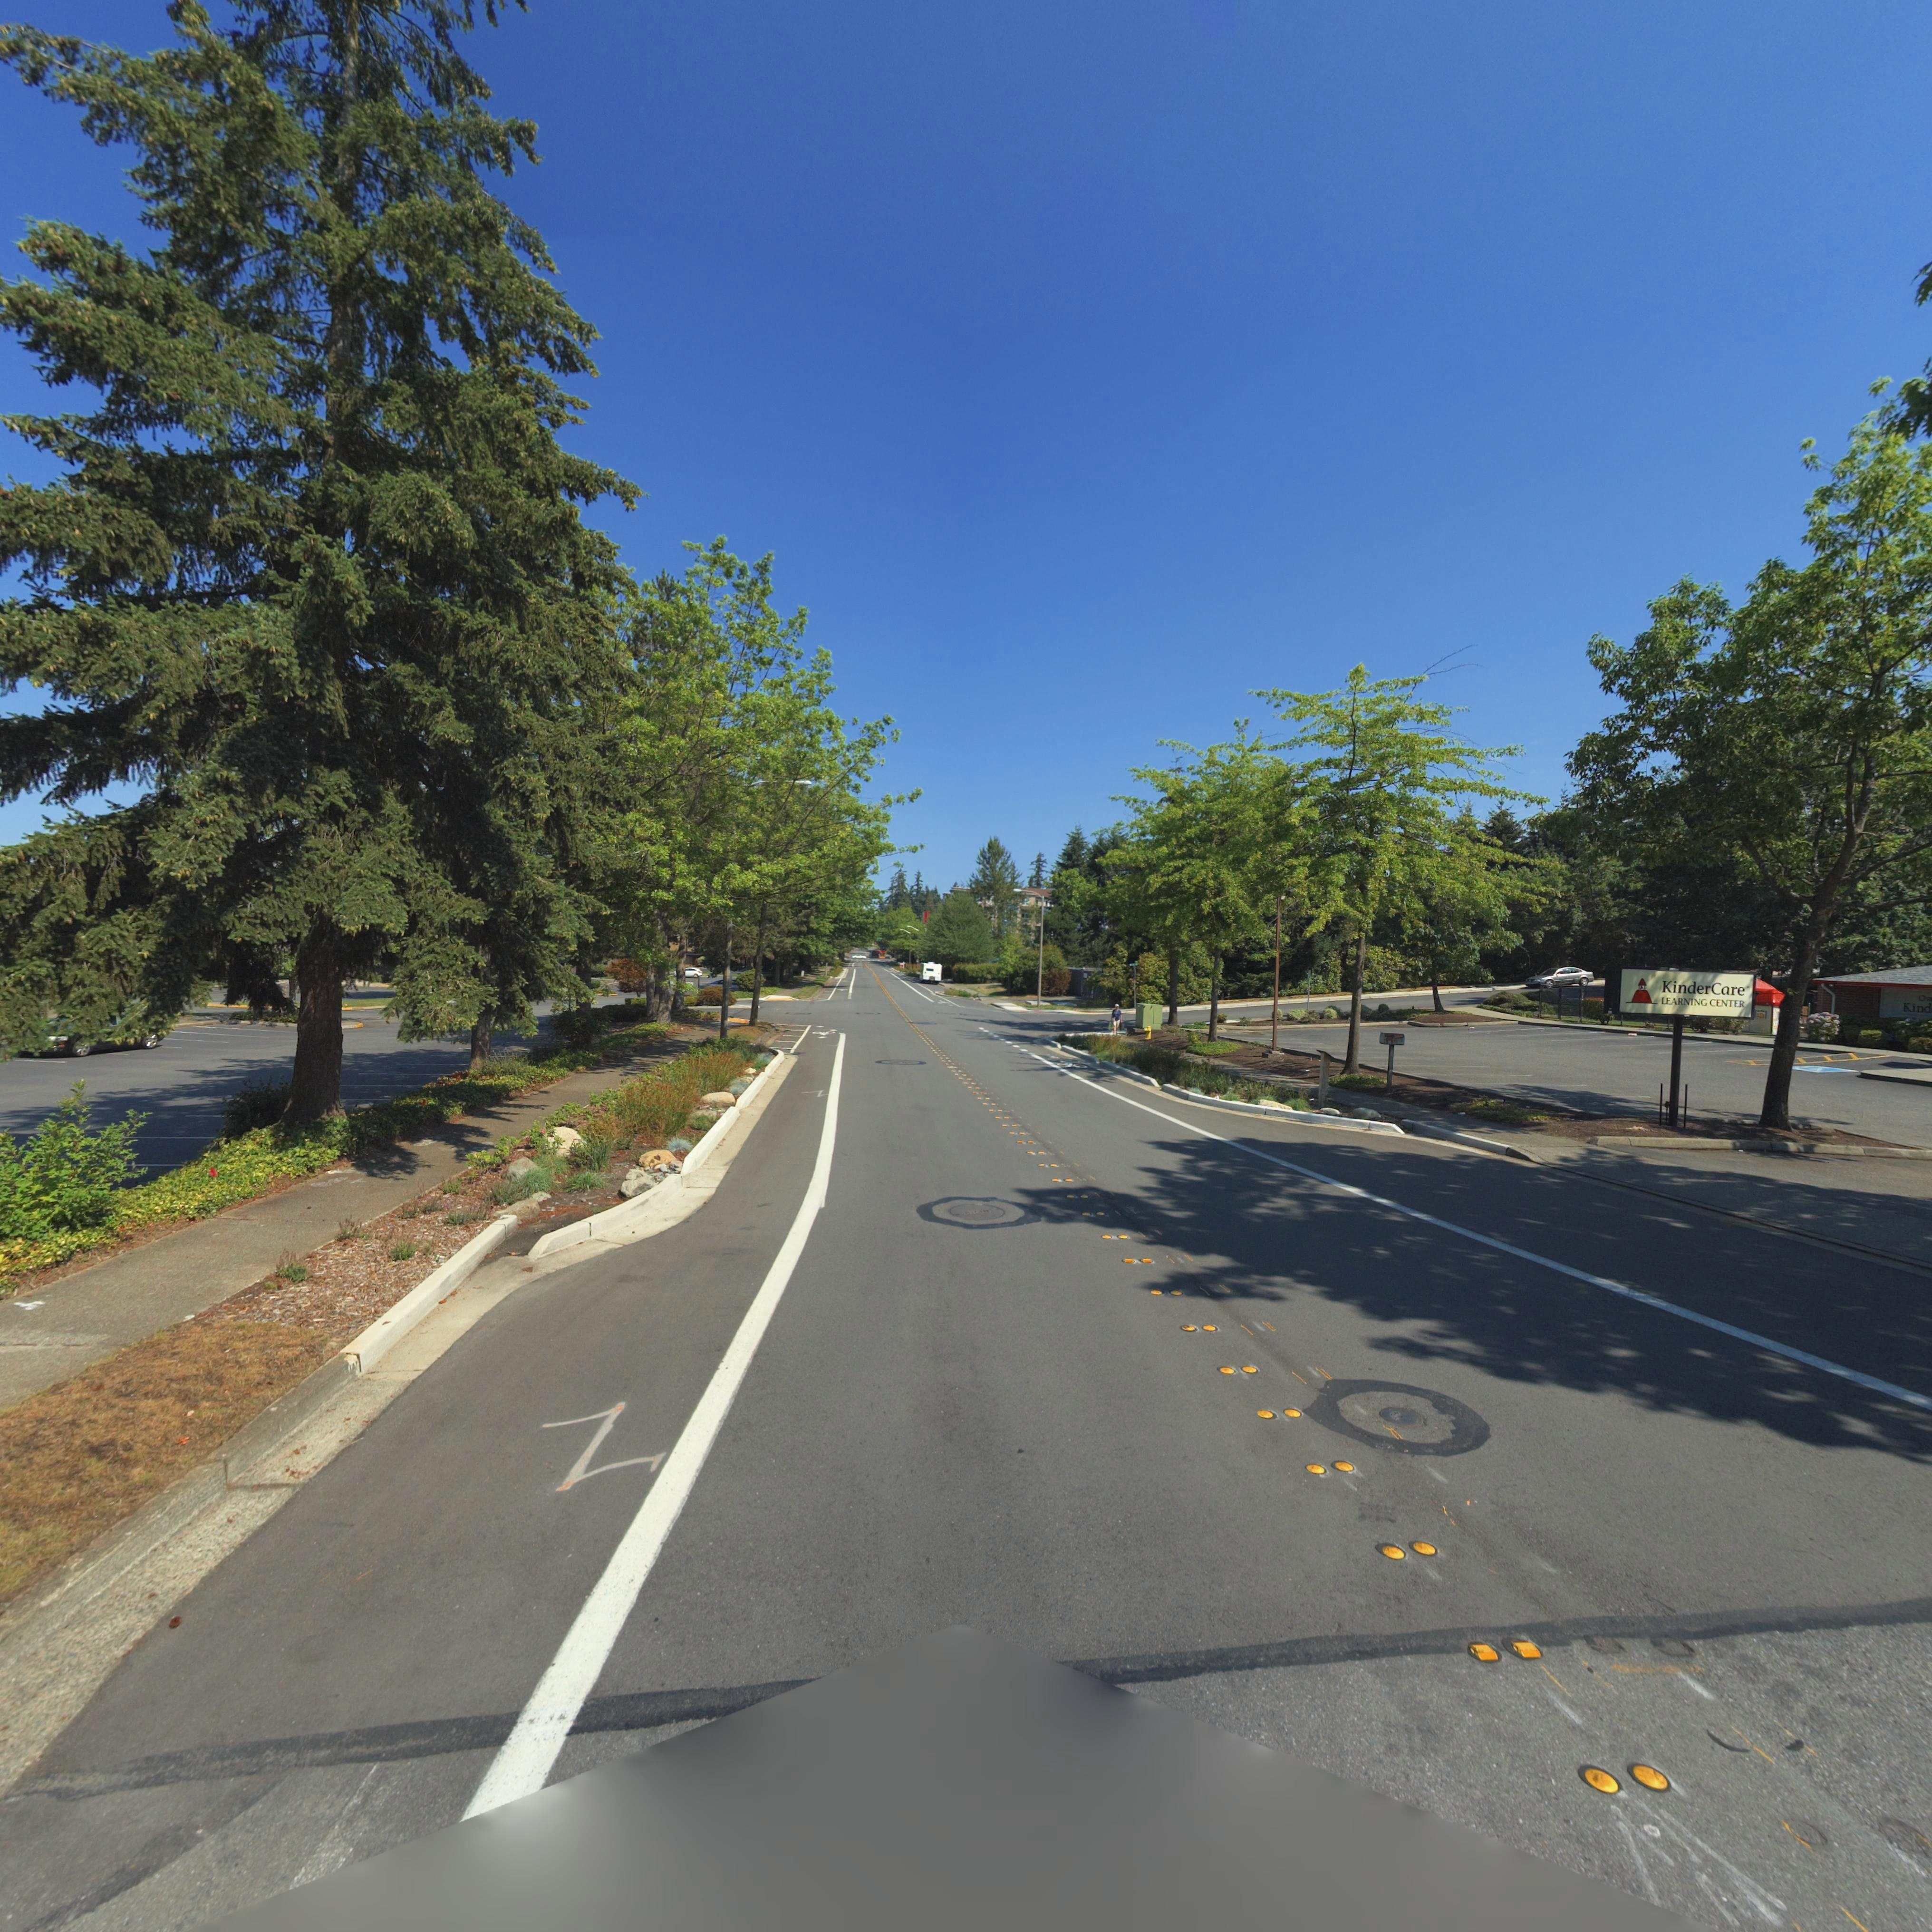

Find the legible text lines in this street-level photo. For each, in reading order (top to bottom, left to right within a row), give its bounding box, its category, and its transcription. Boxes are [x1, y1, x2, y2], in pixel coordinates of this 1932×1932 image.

[1661, 980, 1746, 996] BusinessName: KinderCare
[1661, 997, 1744, 1007] BusinessName: LEARNING CENTER
[1903, 1002, 1931, 1013] BusinessName: Kind